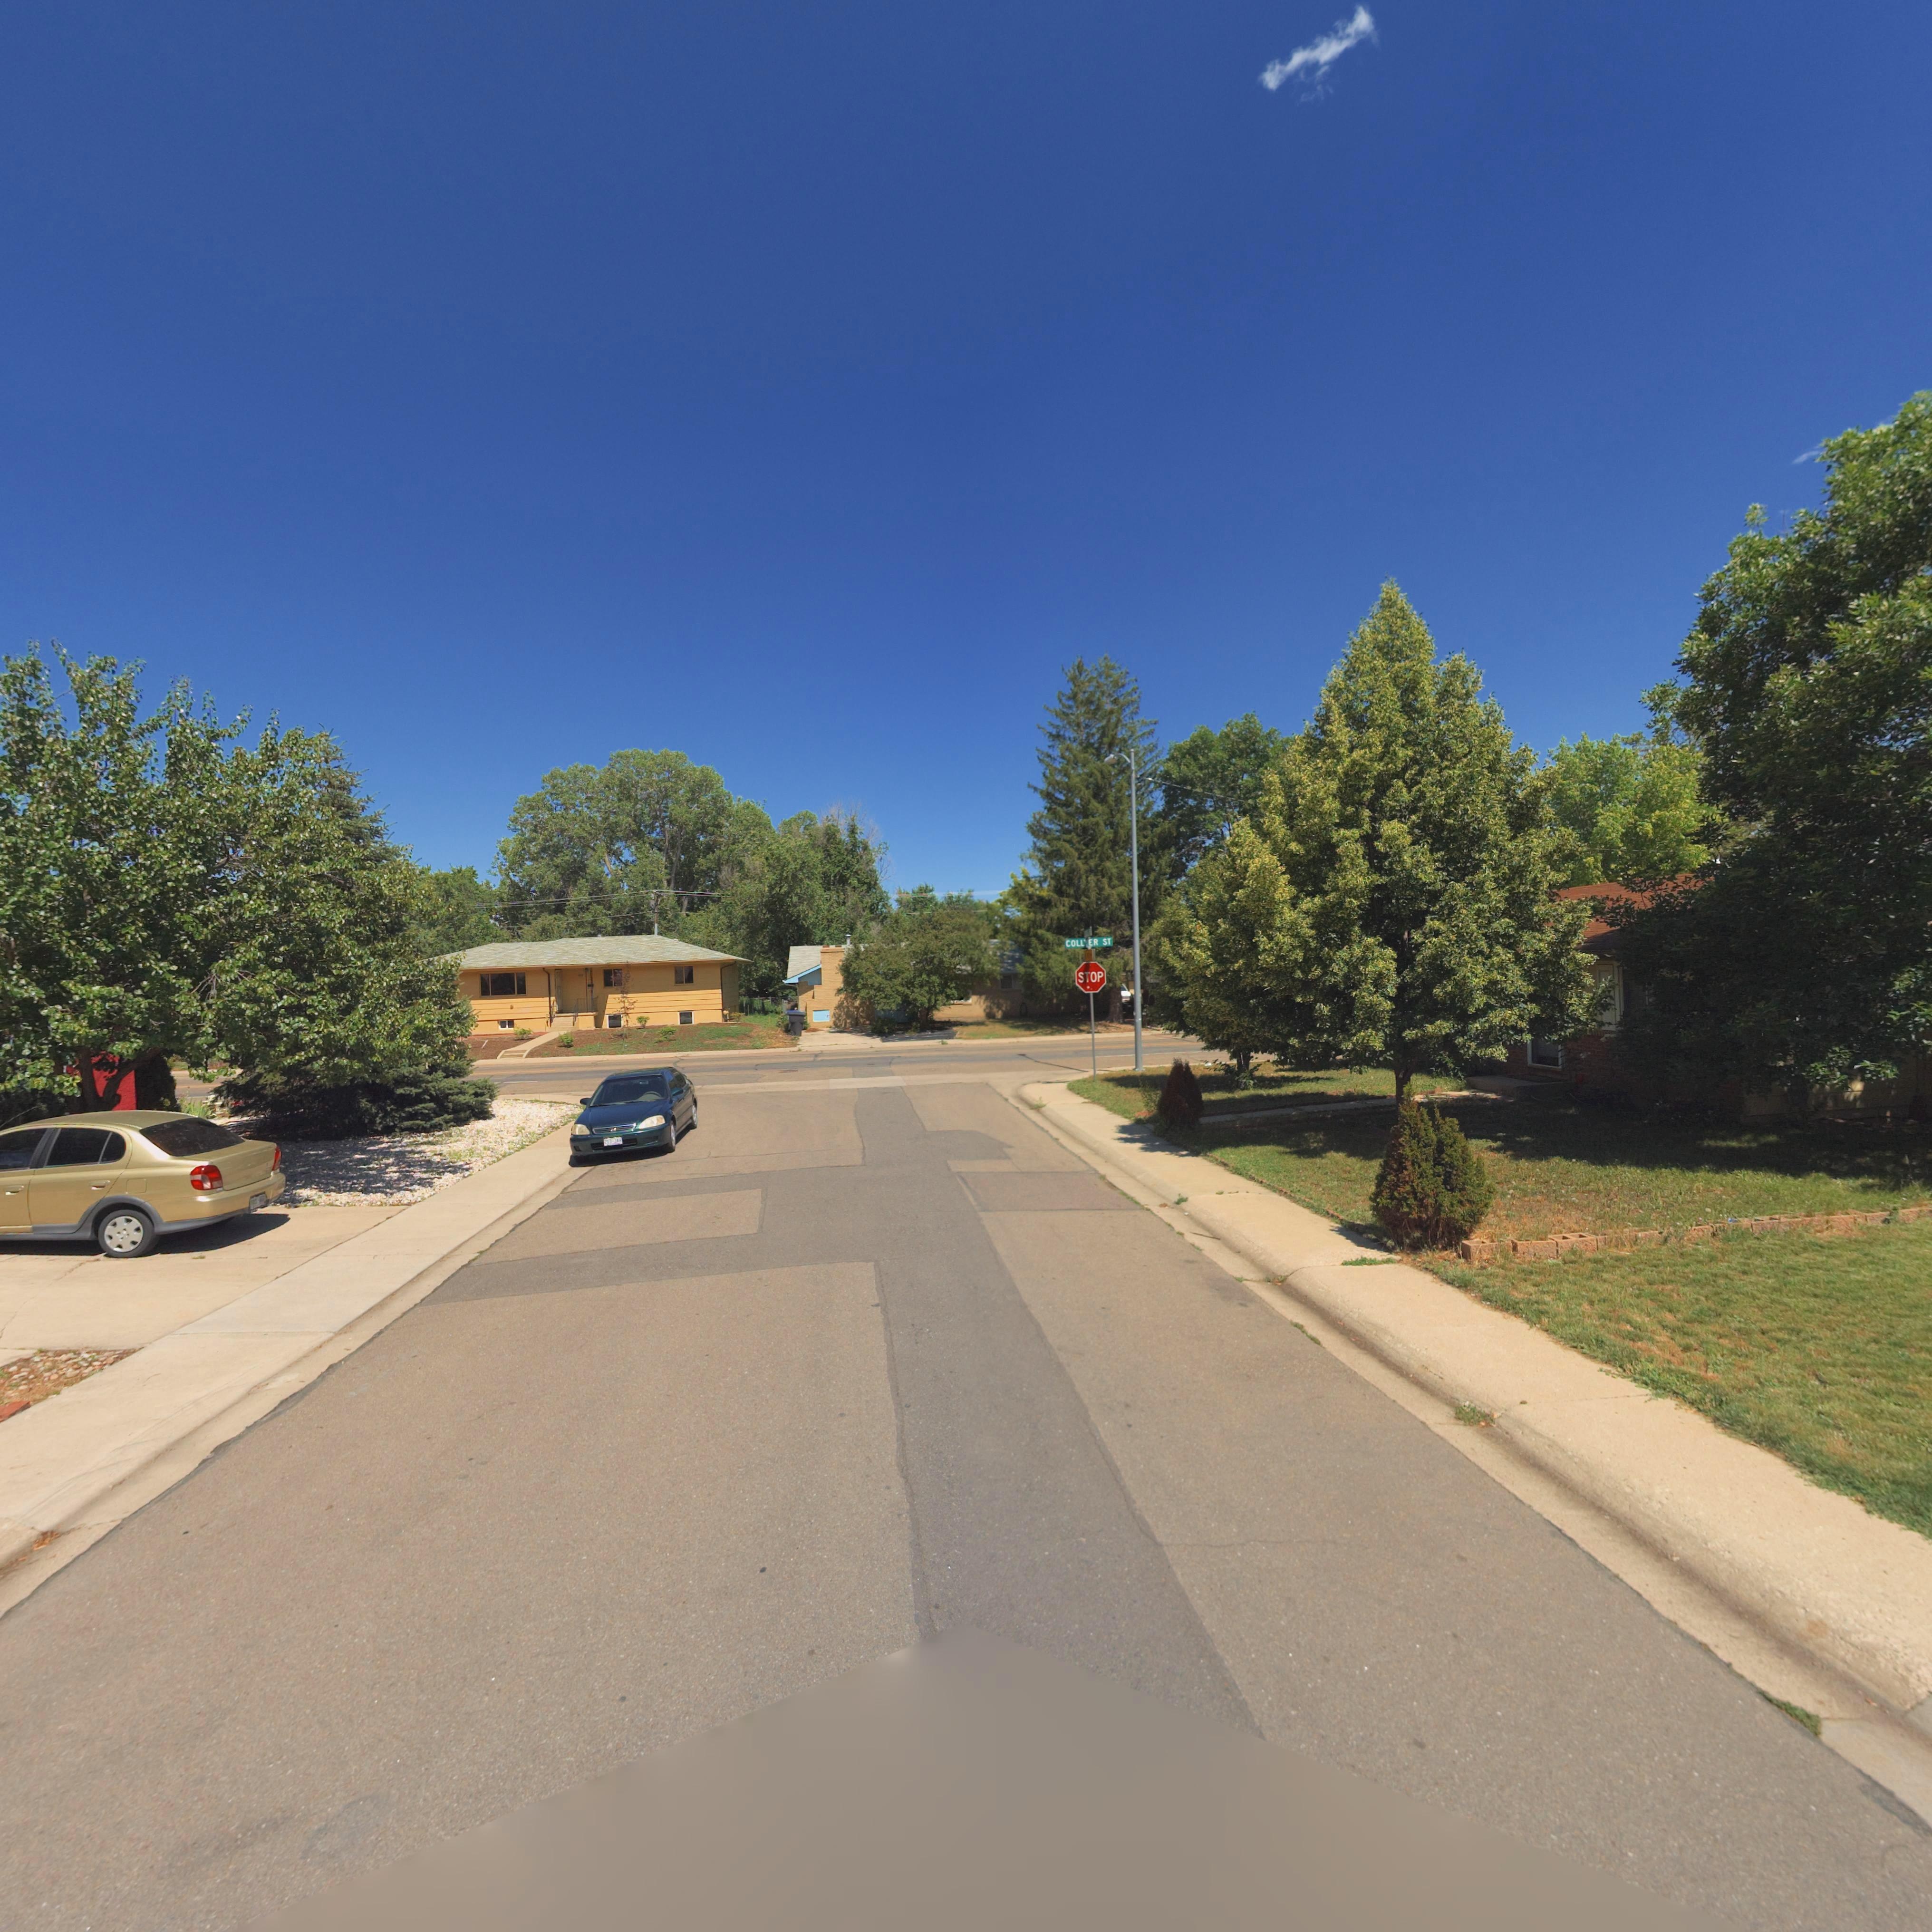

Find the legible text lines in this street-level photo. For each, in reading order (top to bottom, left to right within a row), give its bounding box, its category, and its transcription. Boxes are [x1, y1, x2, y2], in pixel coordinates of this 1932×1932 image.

[1065, 937, 1111, 947] StreetName: COLLYER ST